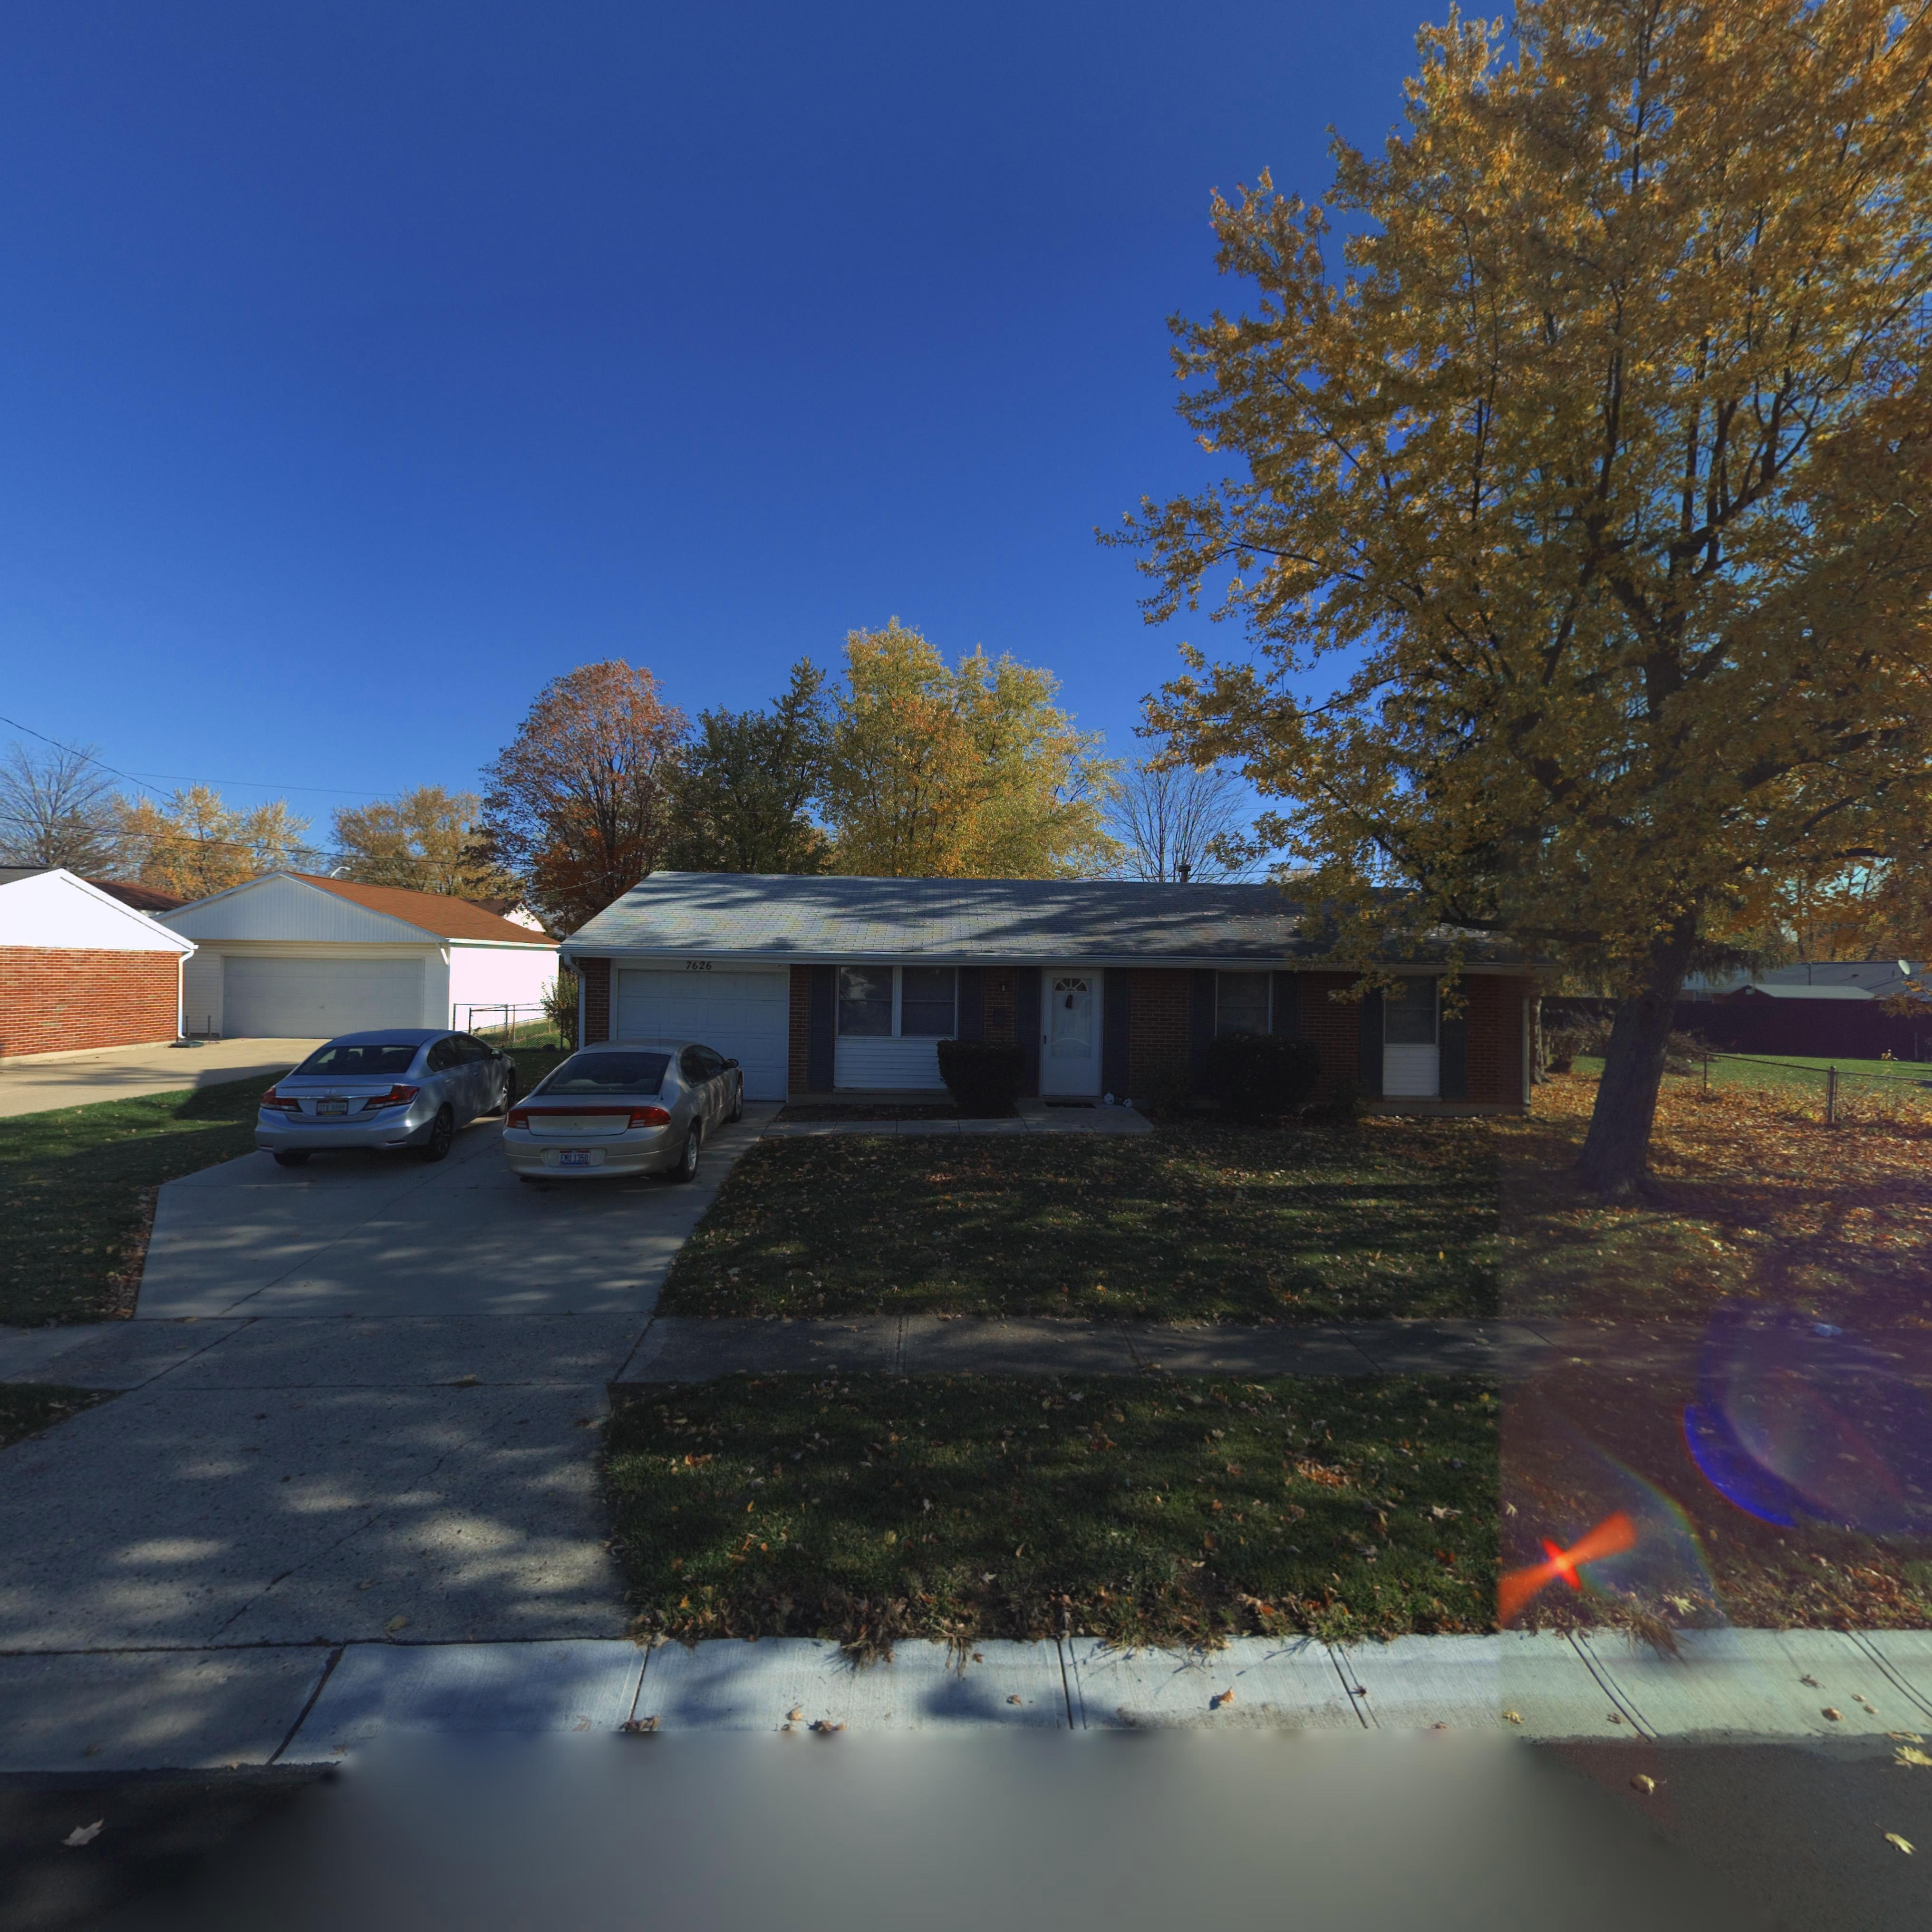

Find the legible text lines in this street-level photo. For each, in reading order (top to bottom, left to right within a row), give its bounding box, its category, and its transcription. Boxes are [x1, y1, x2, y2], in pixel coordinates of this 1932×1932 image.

[685, 960, 713, 971] StreetNumber: 7626